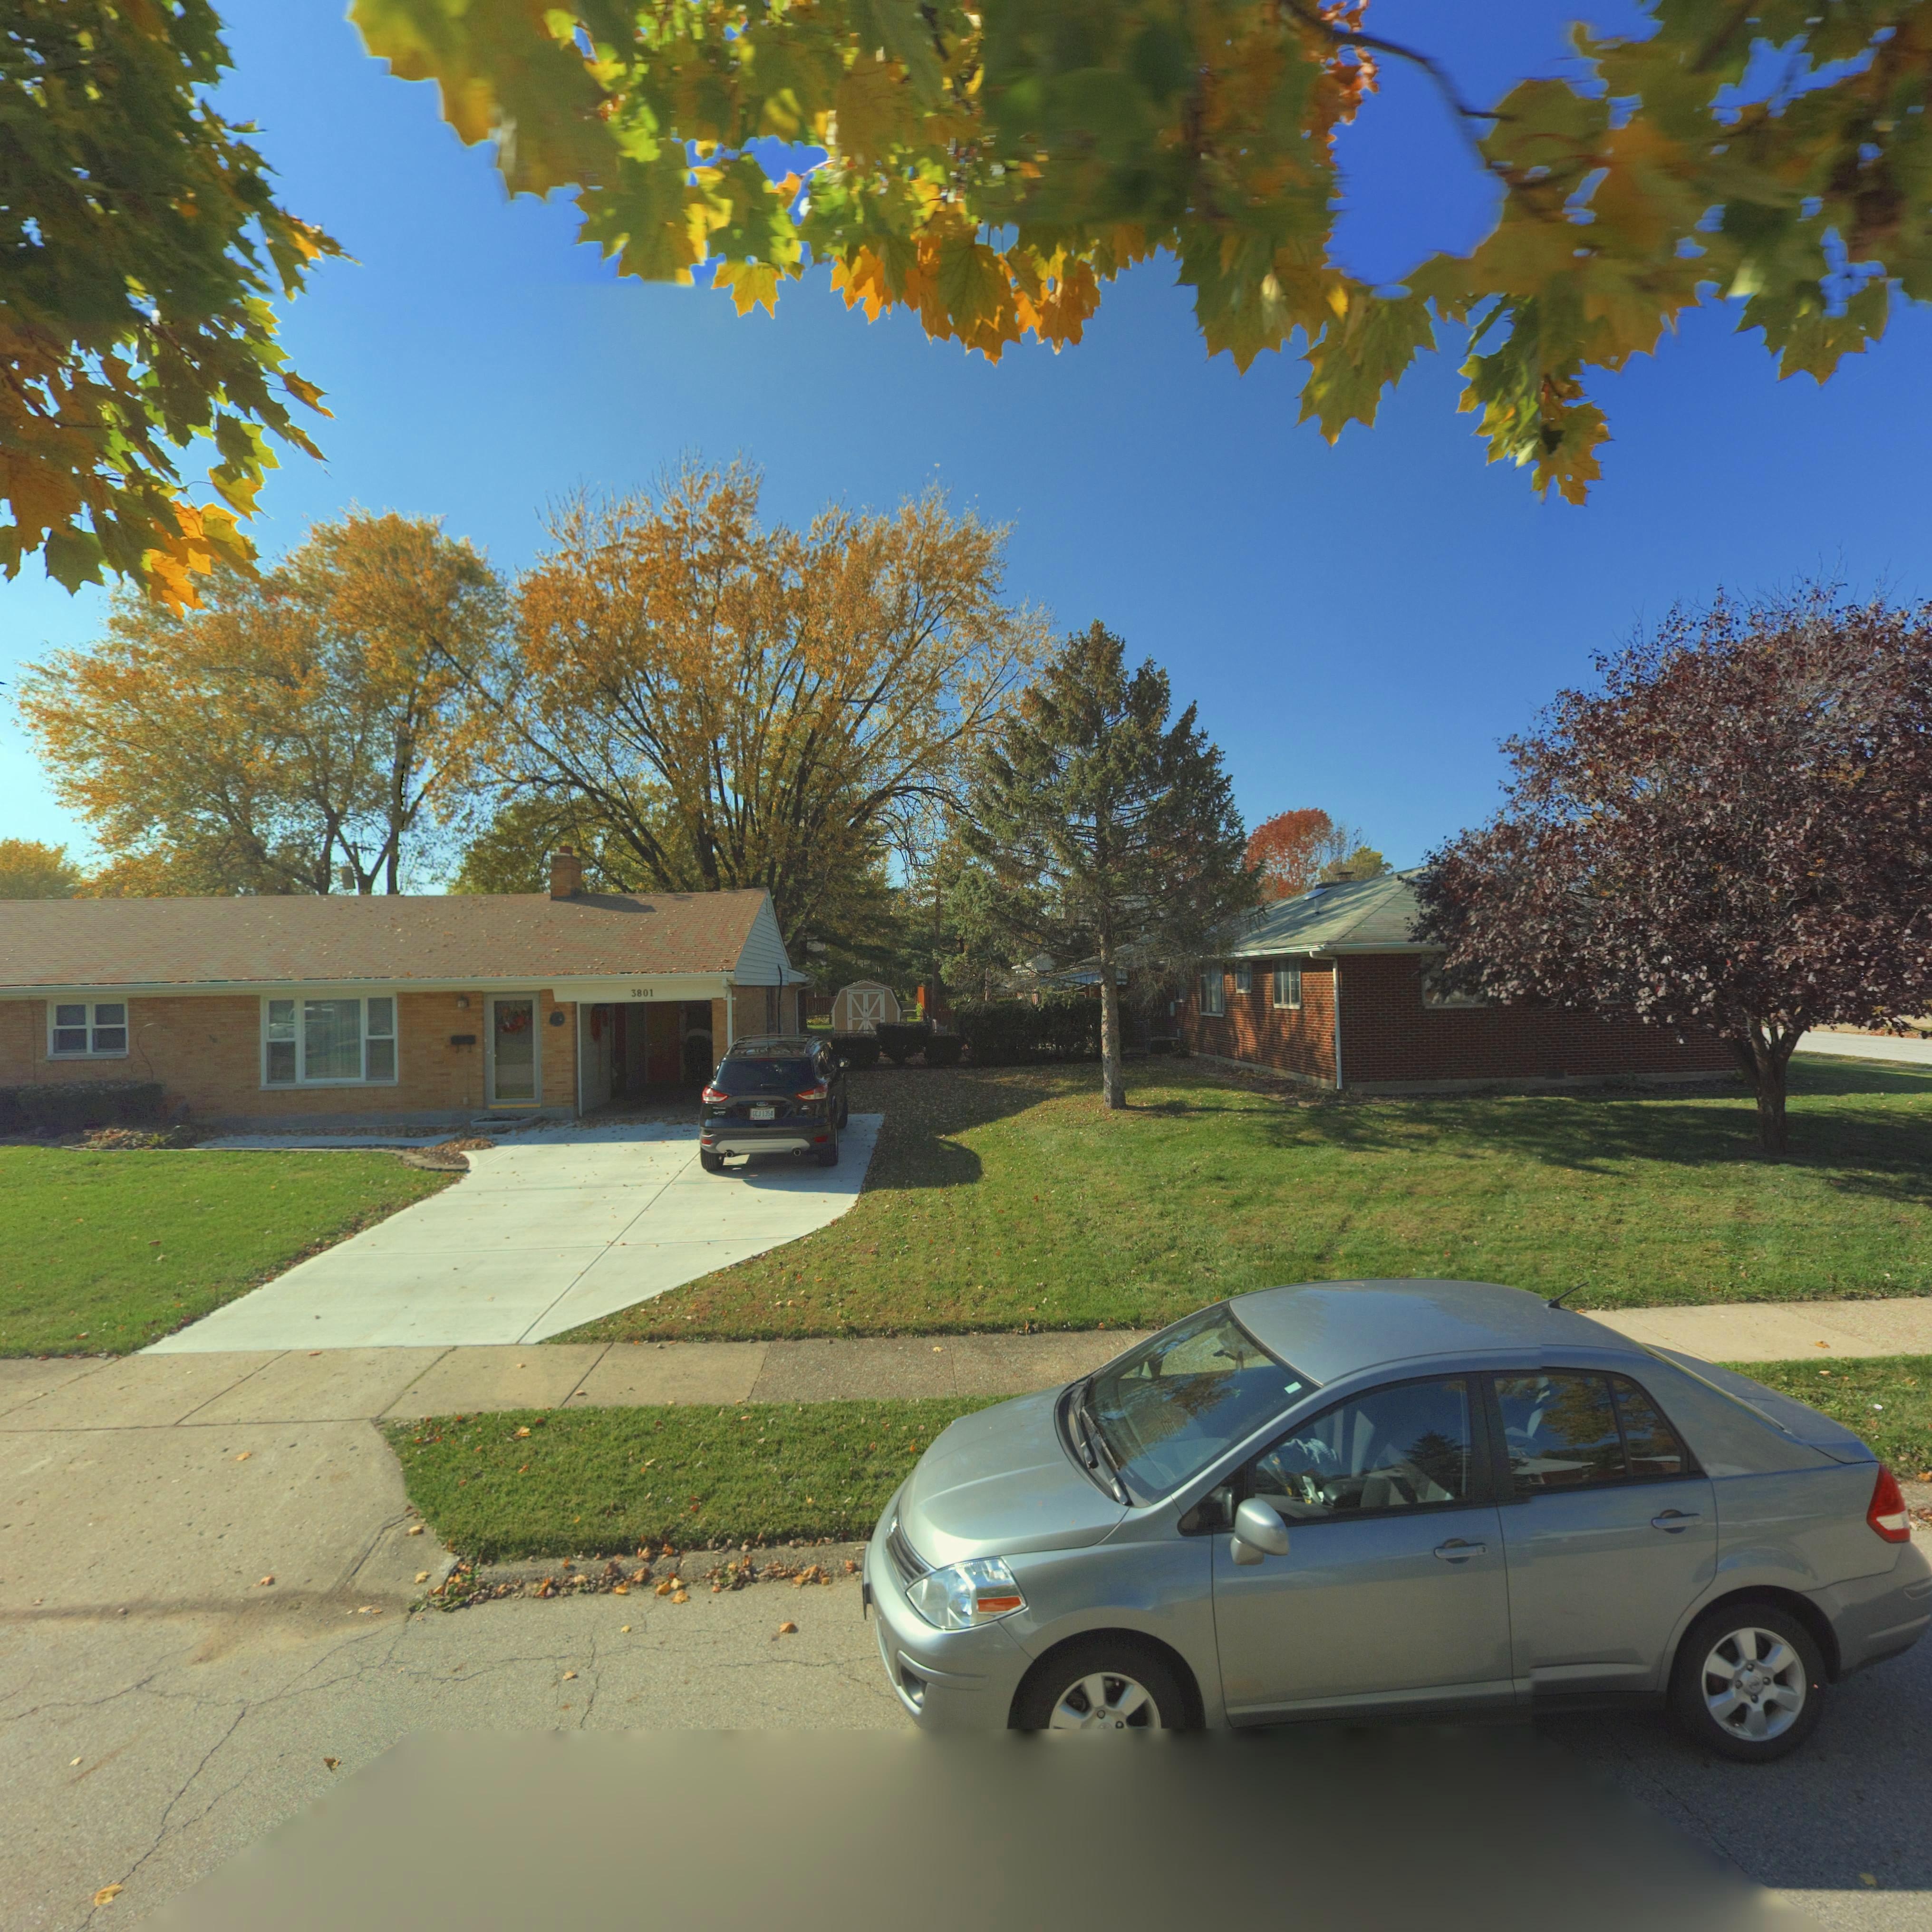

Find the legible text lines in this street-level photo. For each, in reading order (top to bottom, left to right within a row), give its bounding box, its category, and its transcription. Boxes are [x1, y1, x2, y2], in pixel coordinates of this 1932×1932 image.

[630, 987, 655, 998] StreetNumber: 3801
[752, 1110, 774, 1118] None: GCJ 1354